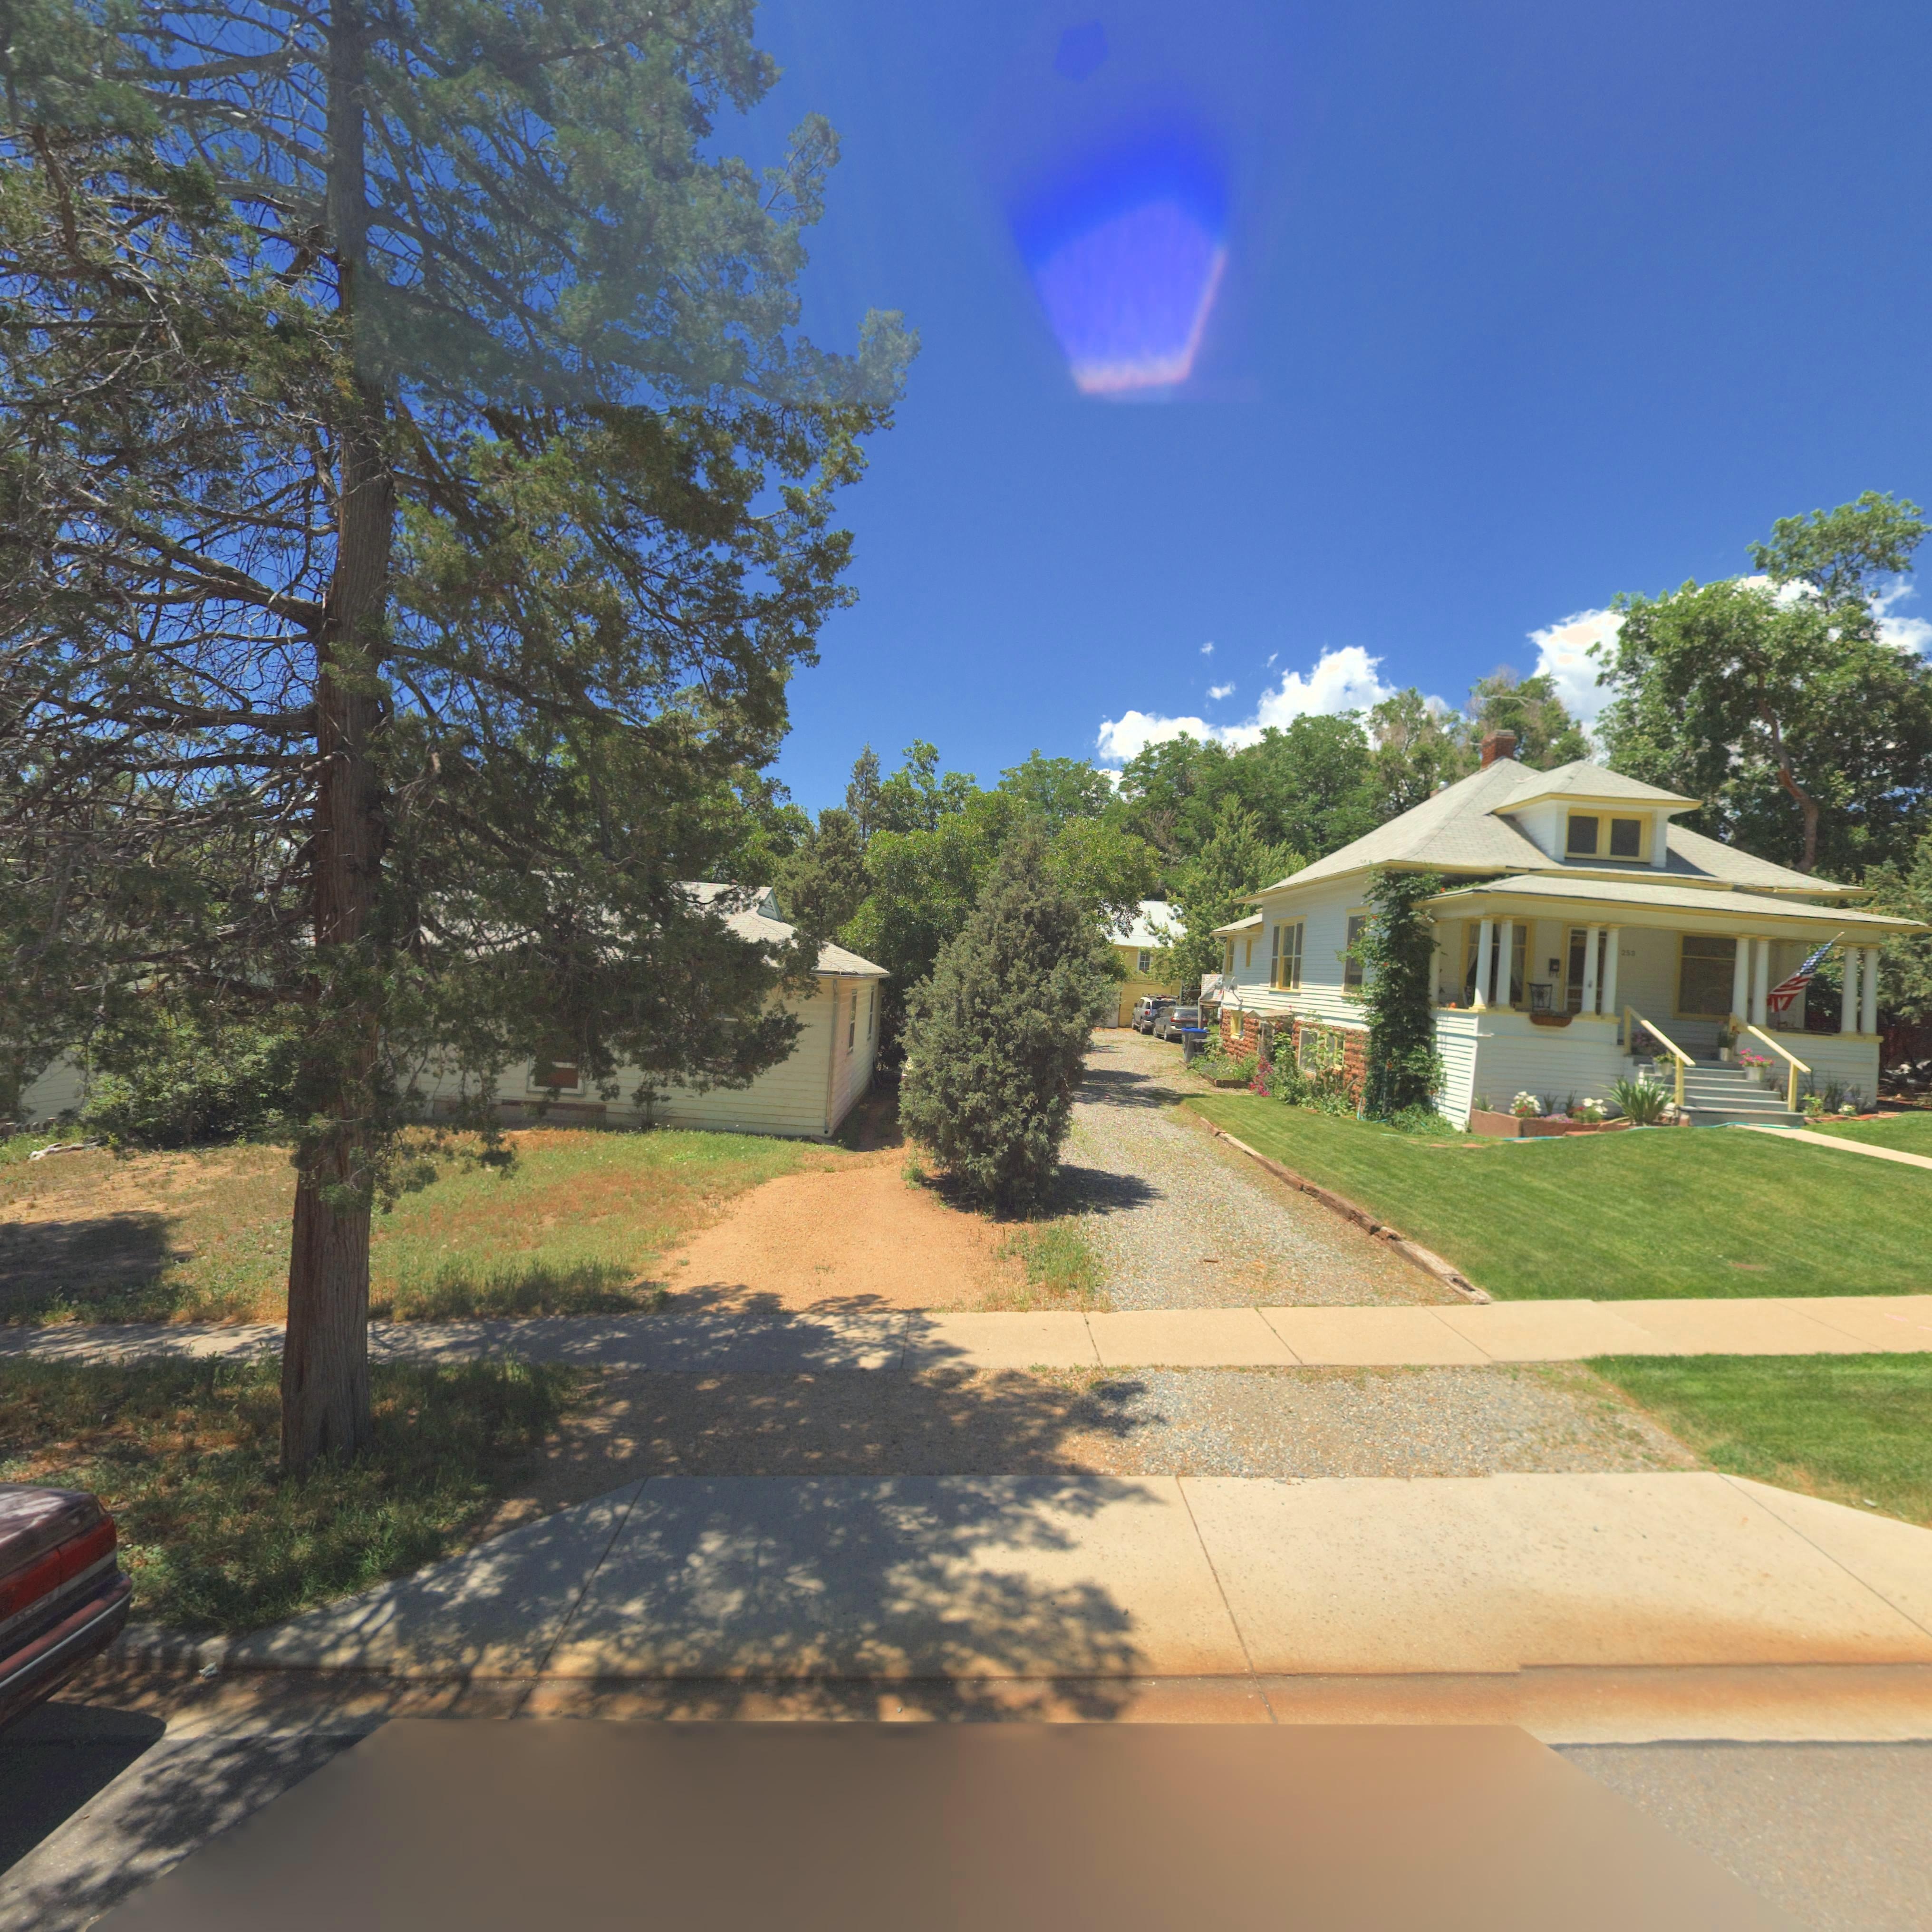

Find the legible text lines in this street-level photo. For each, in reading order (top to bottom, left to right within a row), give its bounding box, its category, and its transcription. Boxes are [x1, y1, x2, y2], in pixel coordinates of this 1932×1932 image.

[1621, 949, 1635, 956] StreetNumber: 25*